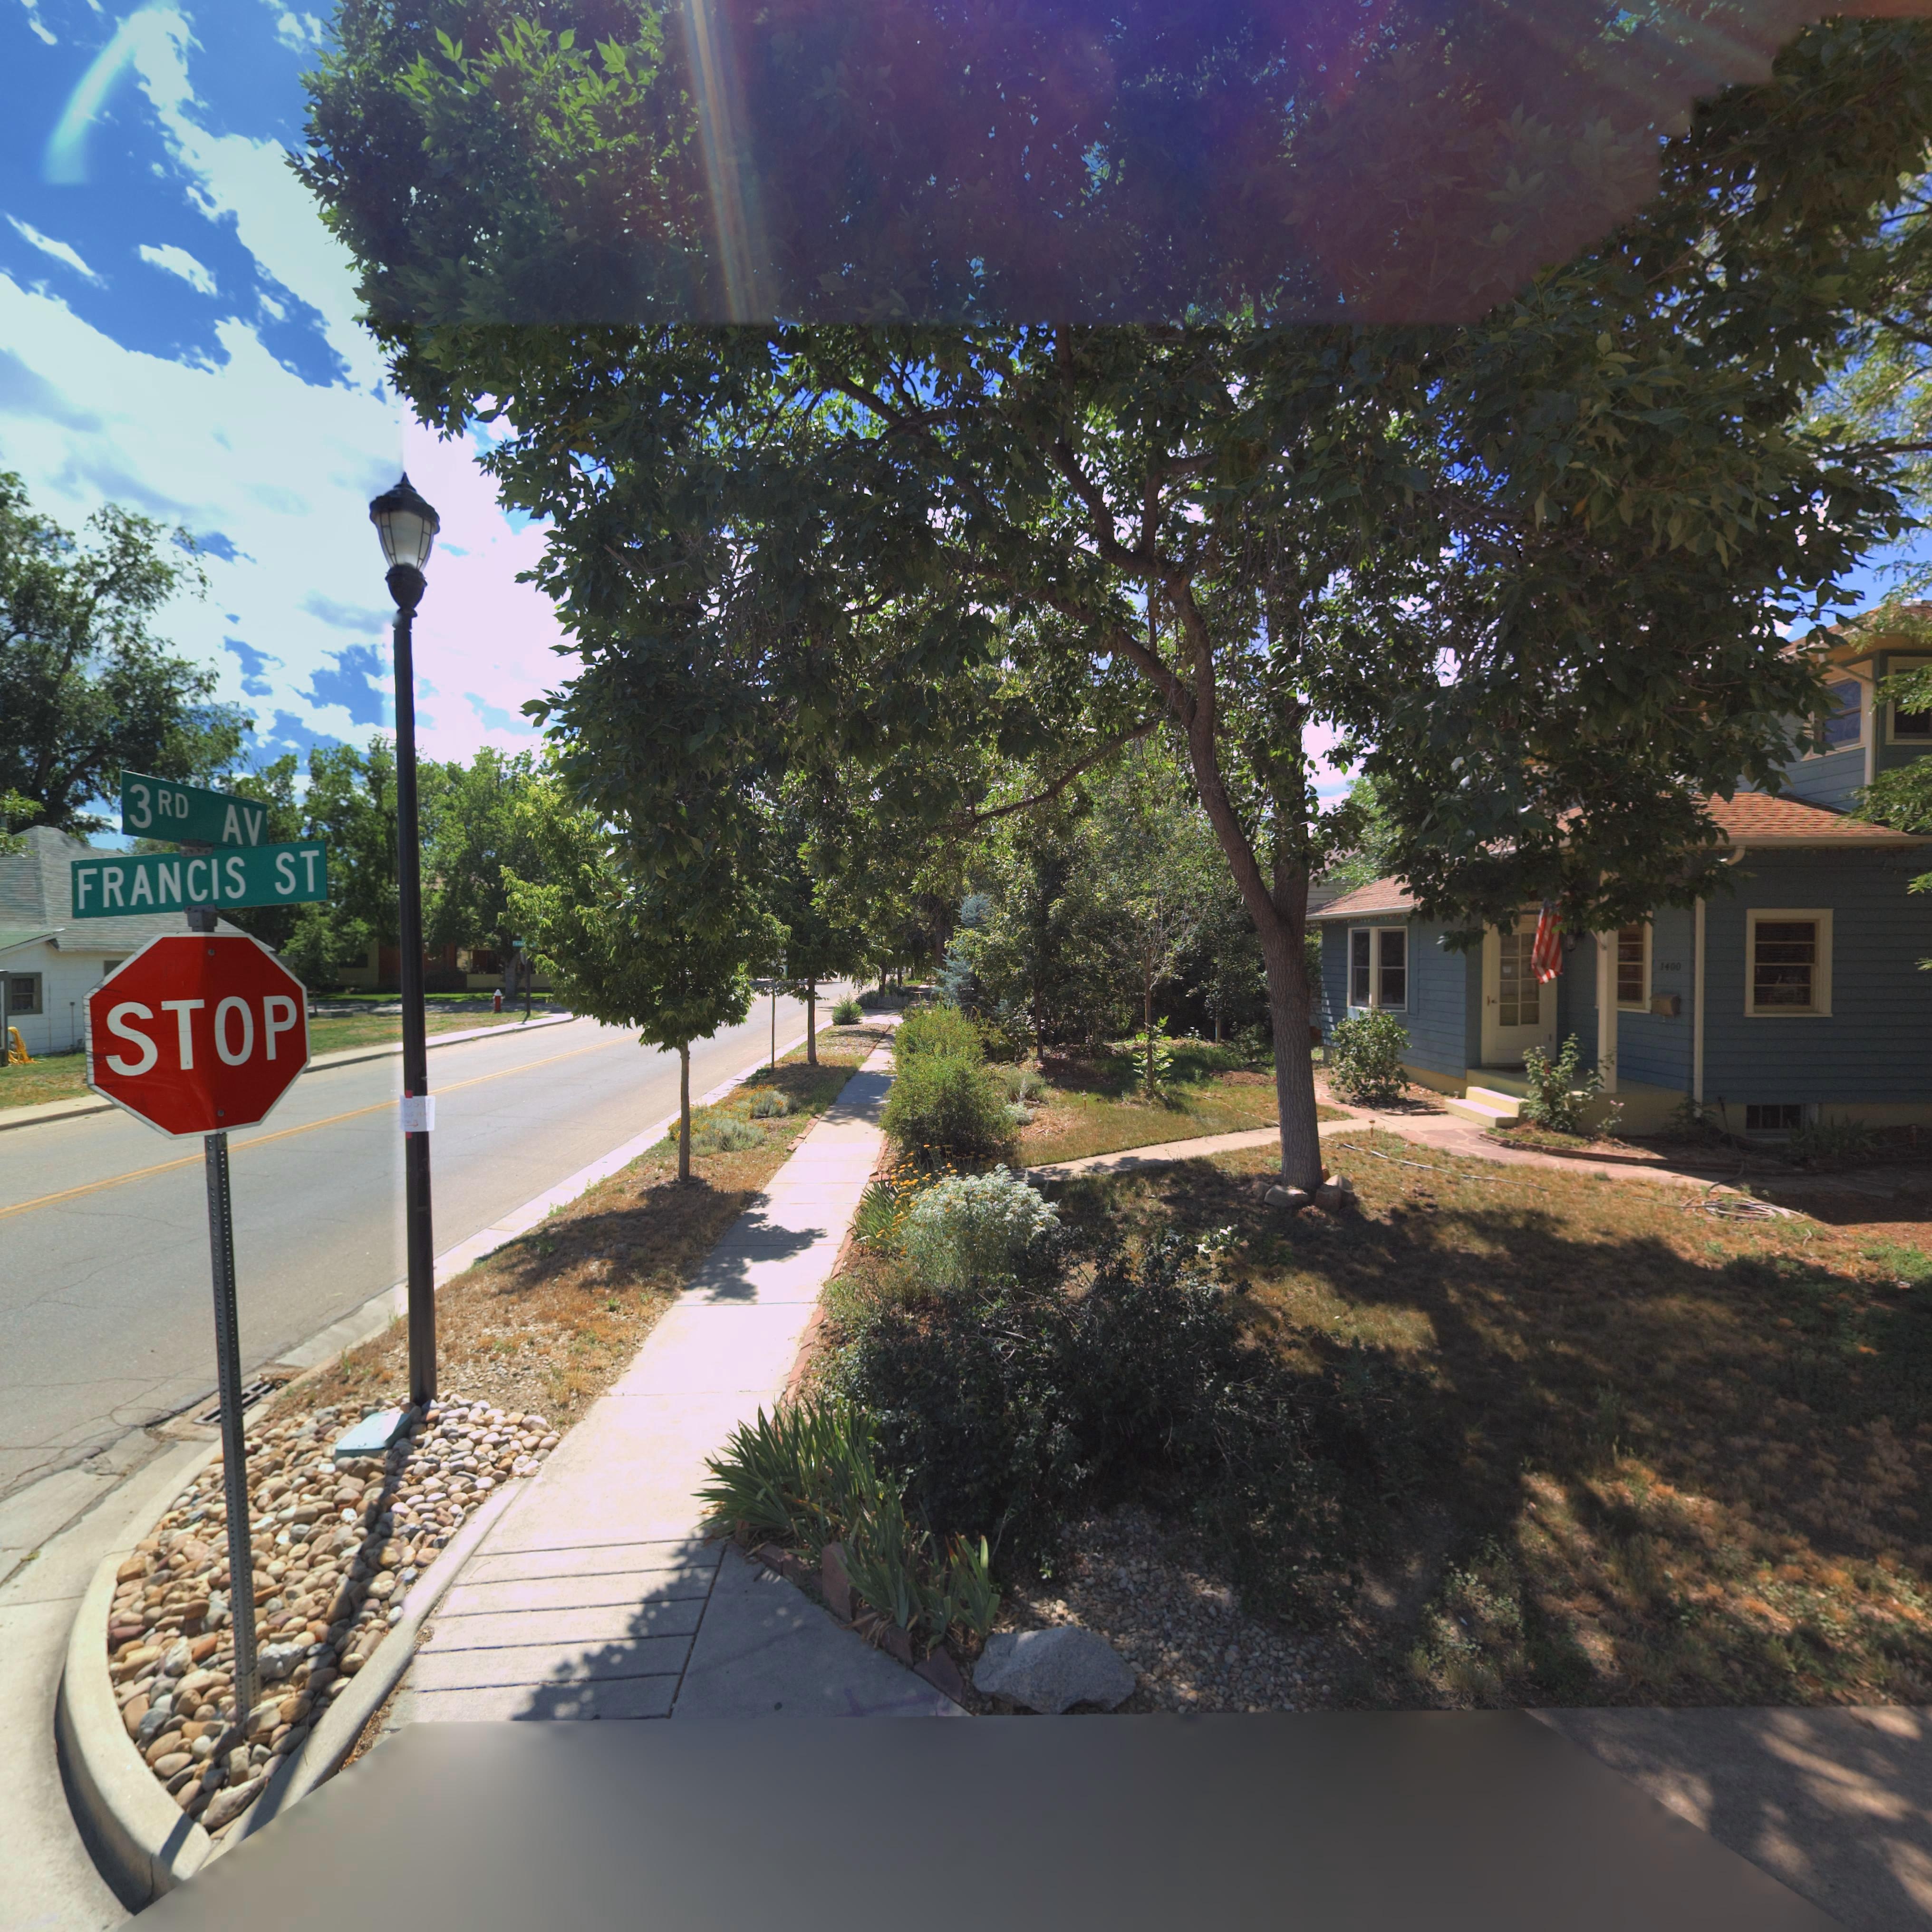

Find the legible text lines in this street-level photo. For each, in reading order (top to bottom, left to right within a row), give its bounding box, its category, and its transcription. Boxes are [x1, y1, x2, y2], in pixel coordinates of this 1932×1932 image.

[123, 781, 264, 850] StreetName: 3RD AV
[72, 847, 323, 917] StreetName: FRANCIS ST
[1660, 962, 1681, 970] StreetNumber: 1400